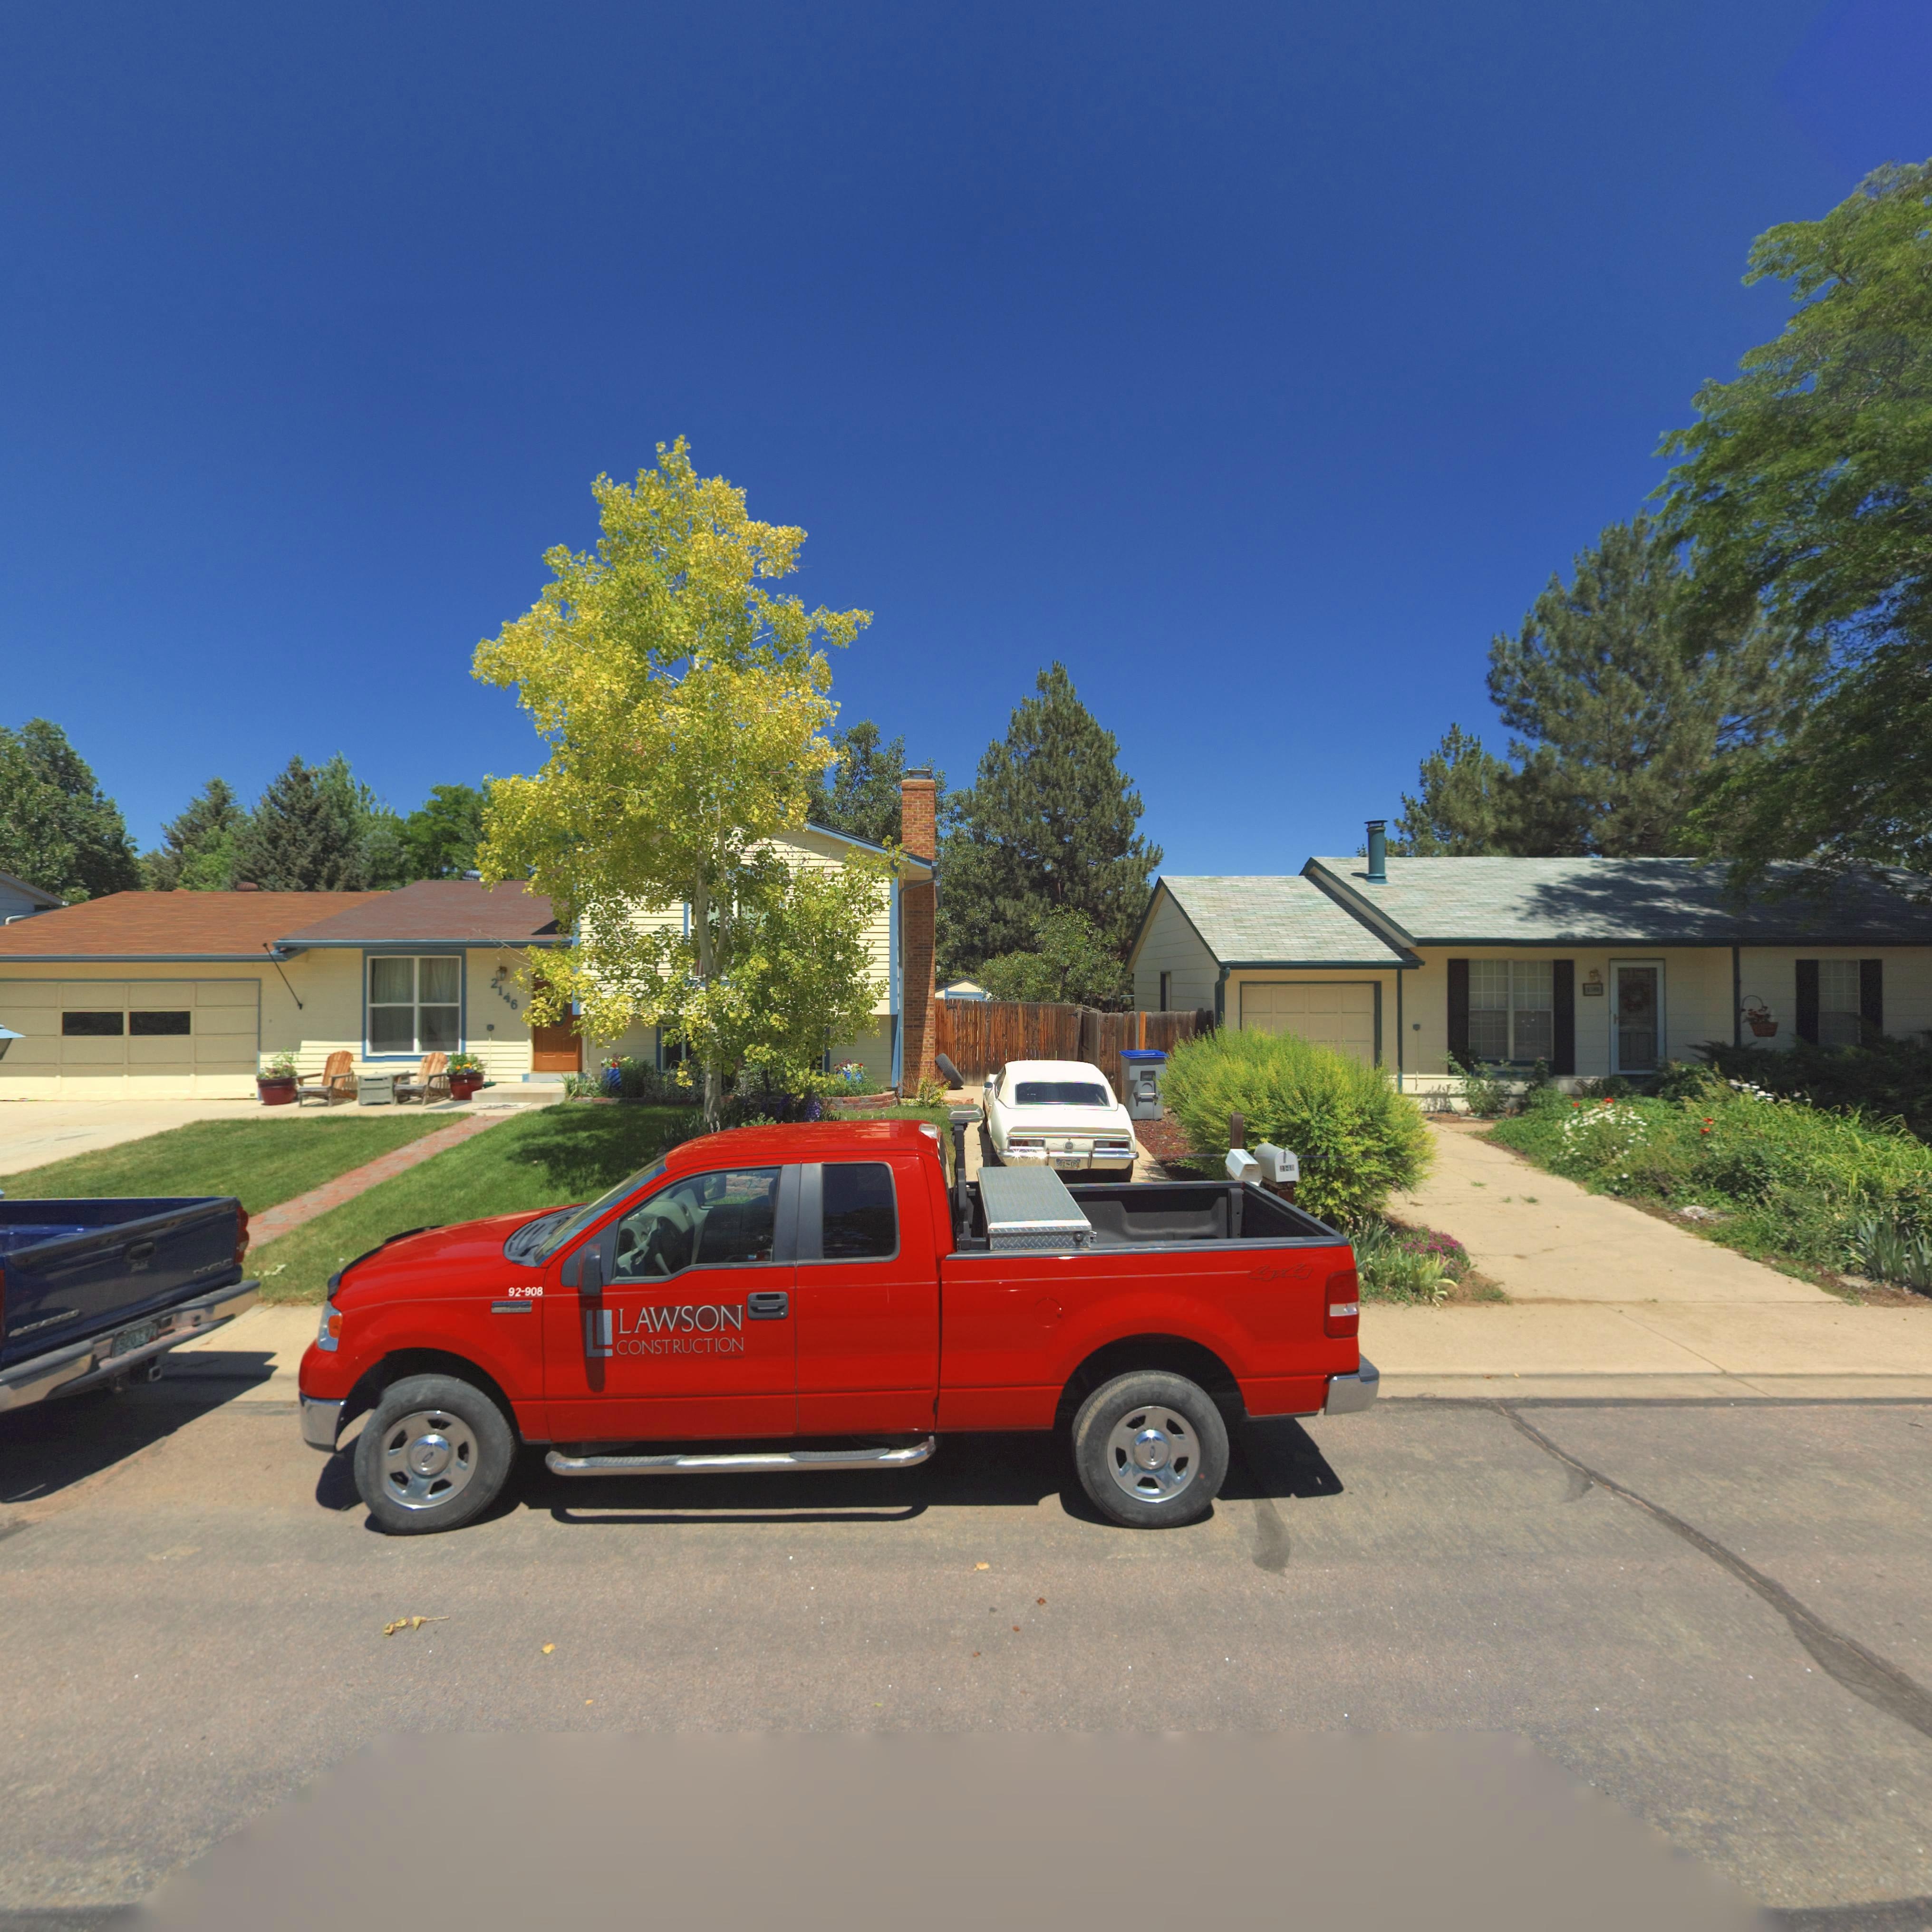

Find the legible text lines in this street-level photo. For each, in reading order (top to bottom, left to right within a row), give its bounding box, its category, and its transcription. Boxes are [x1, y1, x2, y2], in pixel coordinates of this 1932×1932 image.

[1585, 986, 1600, 992] StreetNumber: 21**
[490, 976, 519, 1011] StreetNumber: 2146
[1280, 1165, 1294, 1171] StreetNumber: 2140